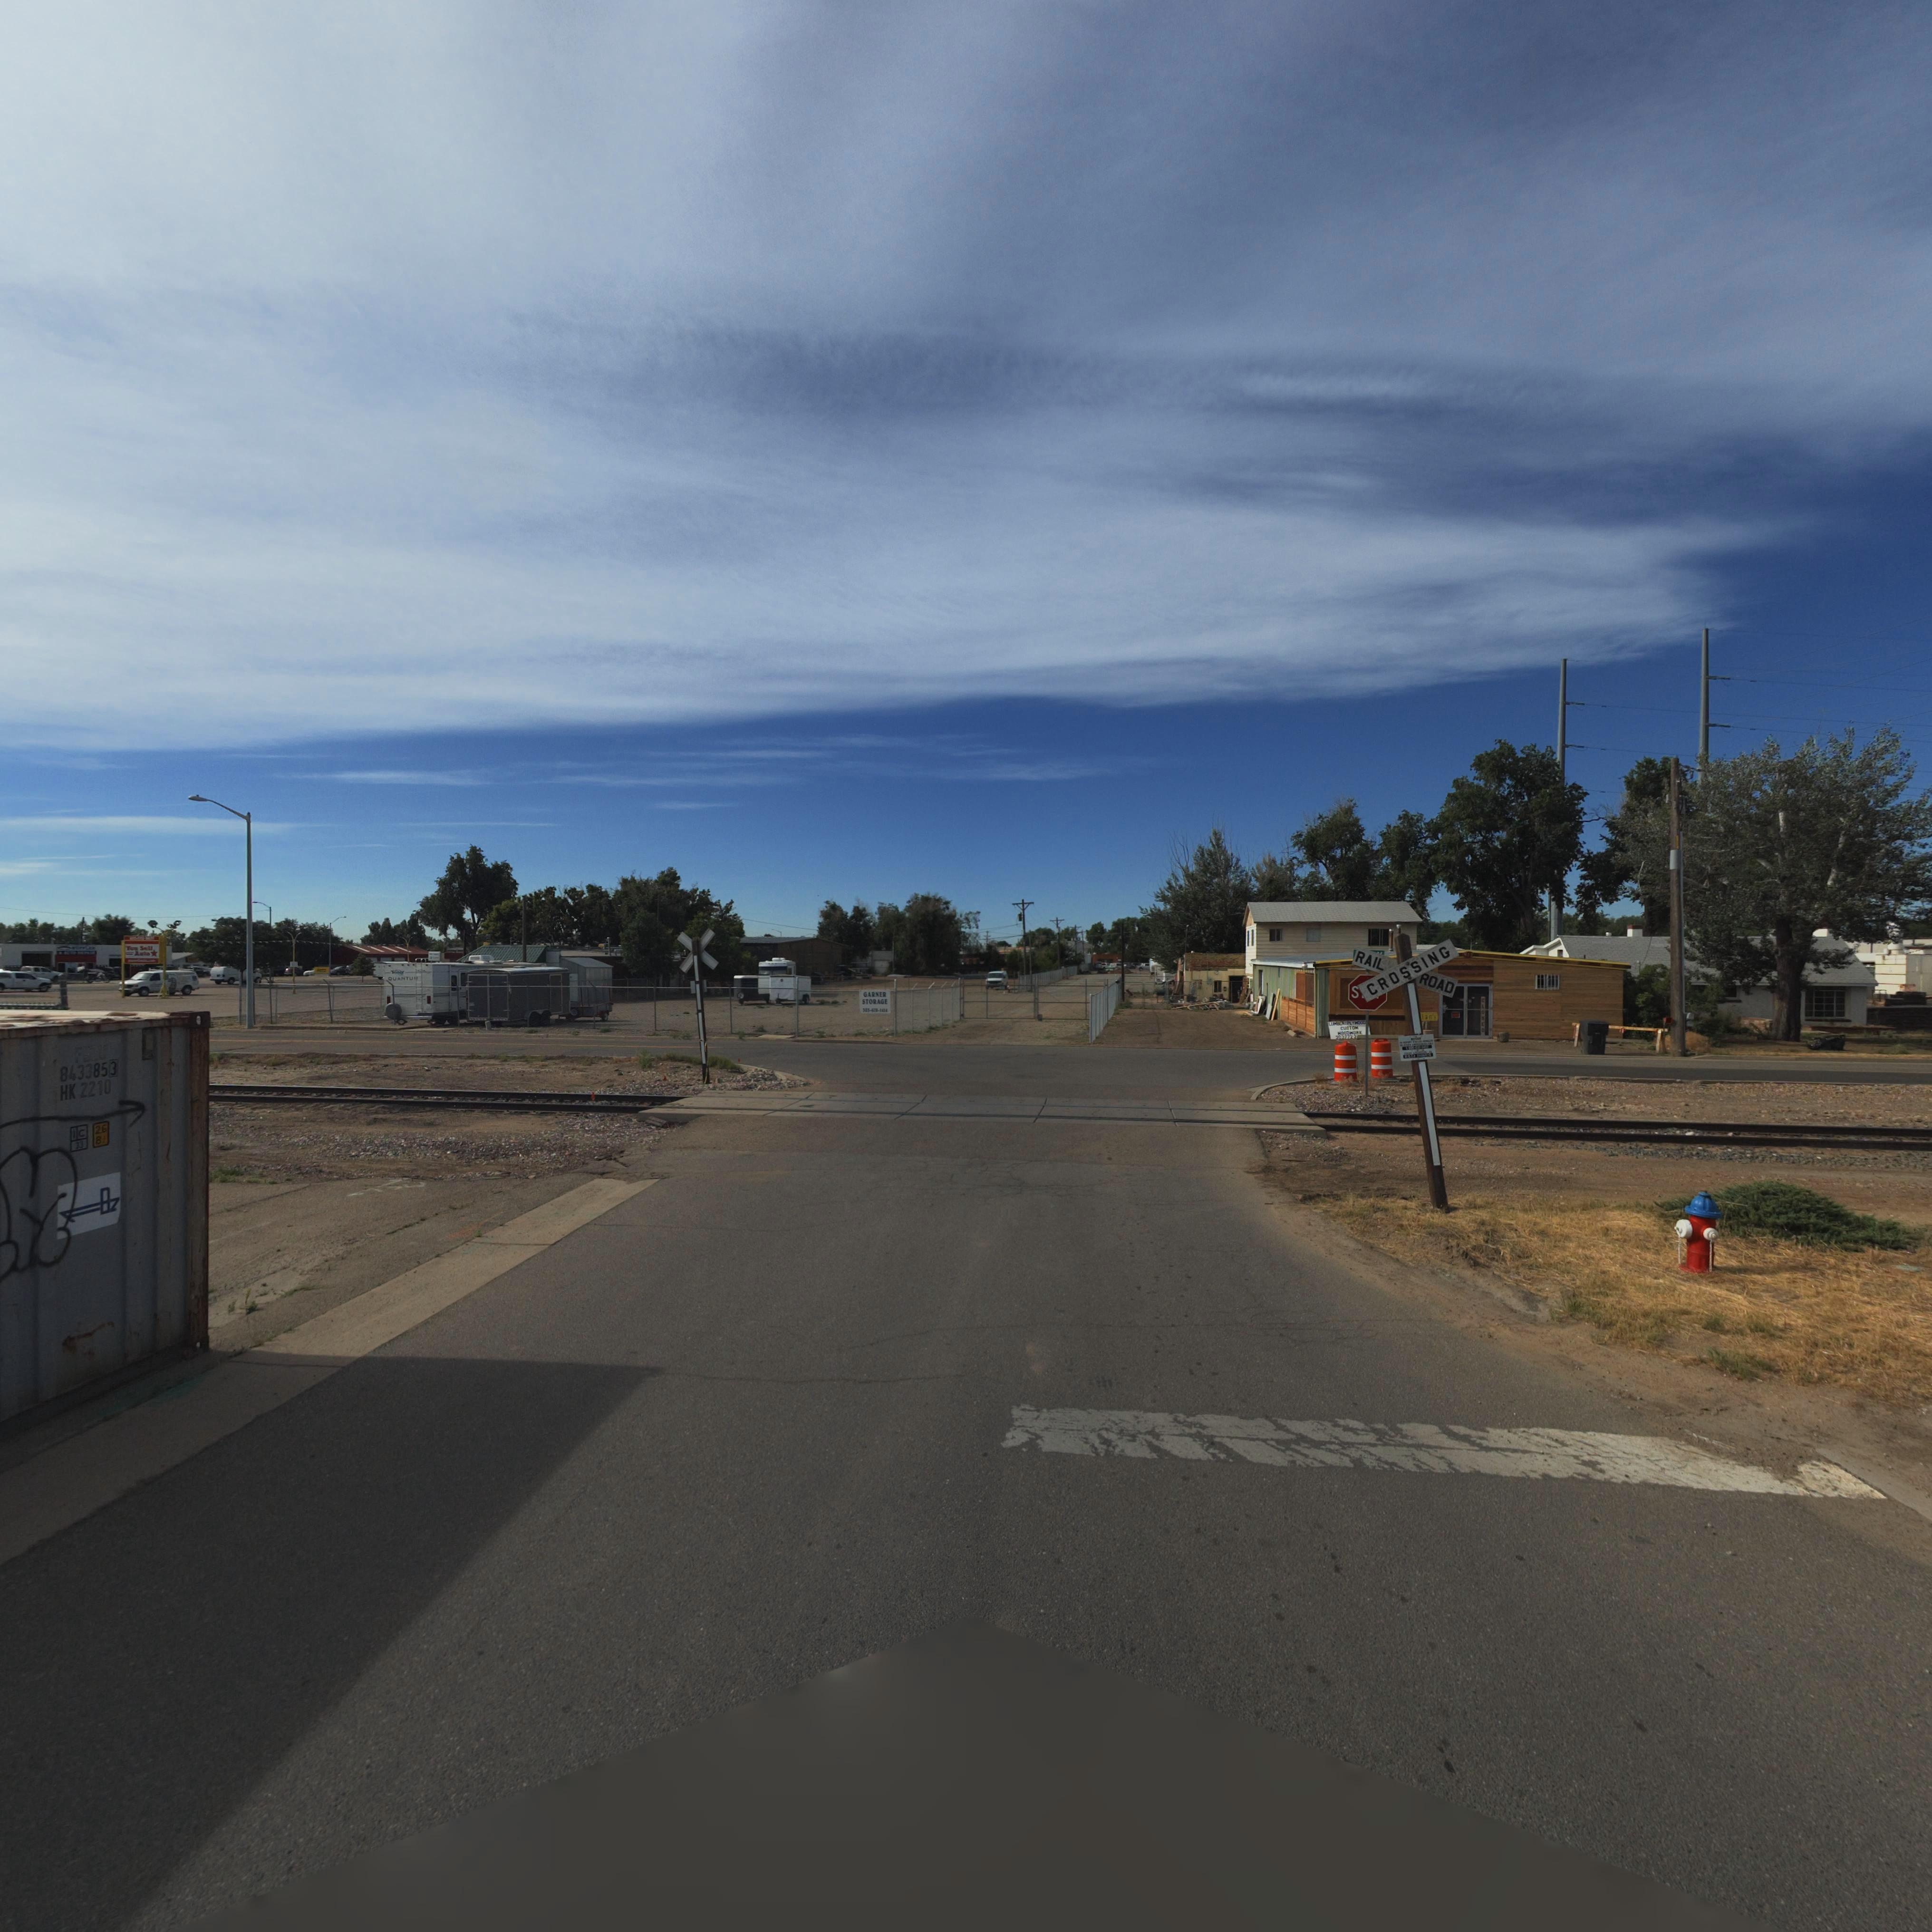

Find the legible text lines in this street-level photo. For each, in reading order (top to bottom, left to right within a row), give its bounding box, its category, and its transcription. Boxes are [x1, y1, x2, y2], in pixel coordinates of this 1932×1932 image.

[125, 945, 153, 950] BusinessName: You Sell
[134, 951, 150, 956] BusinessName: Auto
[1464, 952, 1473, 957] StreetNumber: *17
[863, 991, 887, 997] BusinessName: GARNER
[862, 998, 888, 1004] BusinessName: STORAGE
[1421, 1013, 1437, 1020] BusinessName: *an's